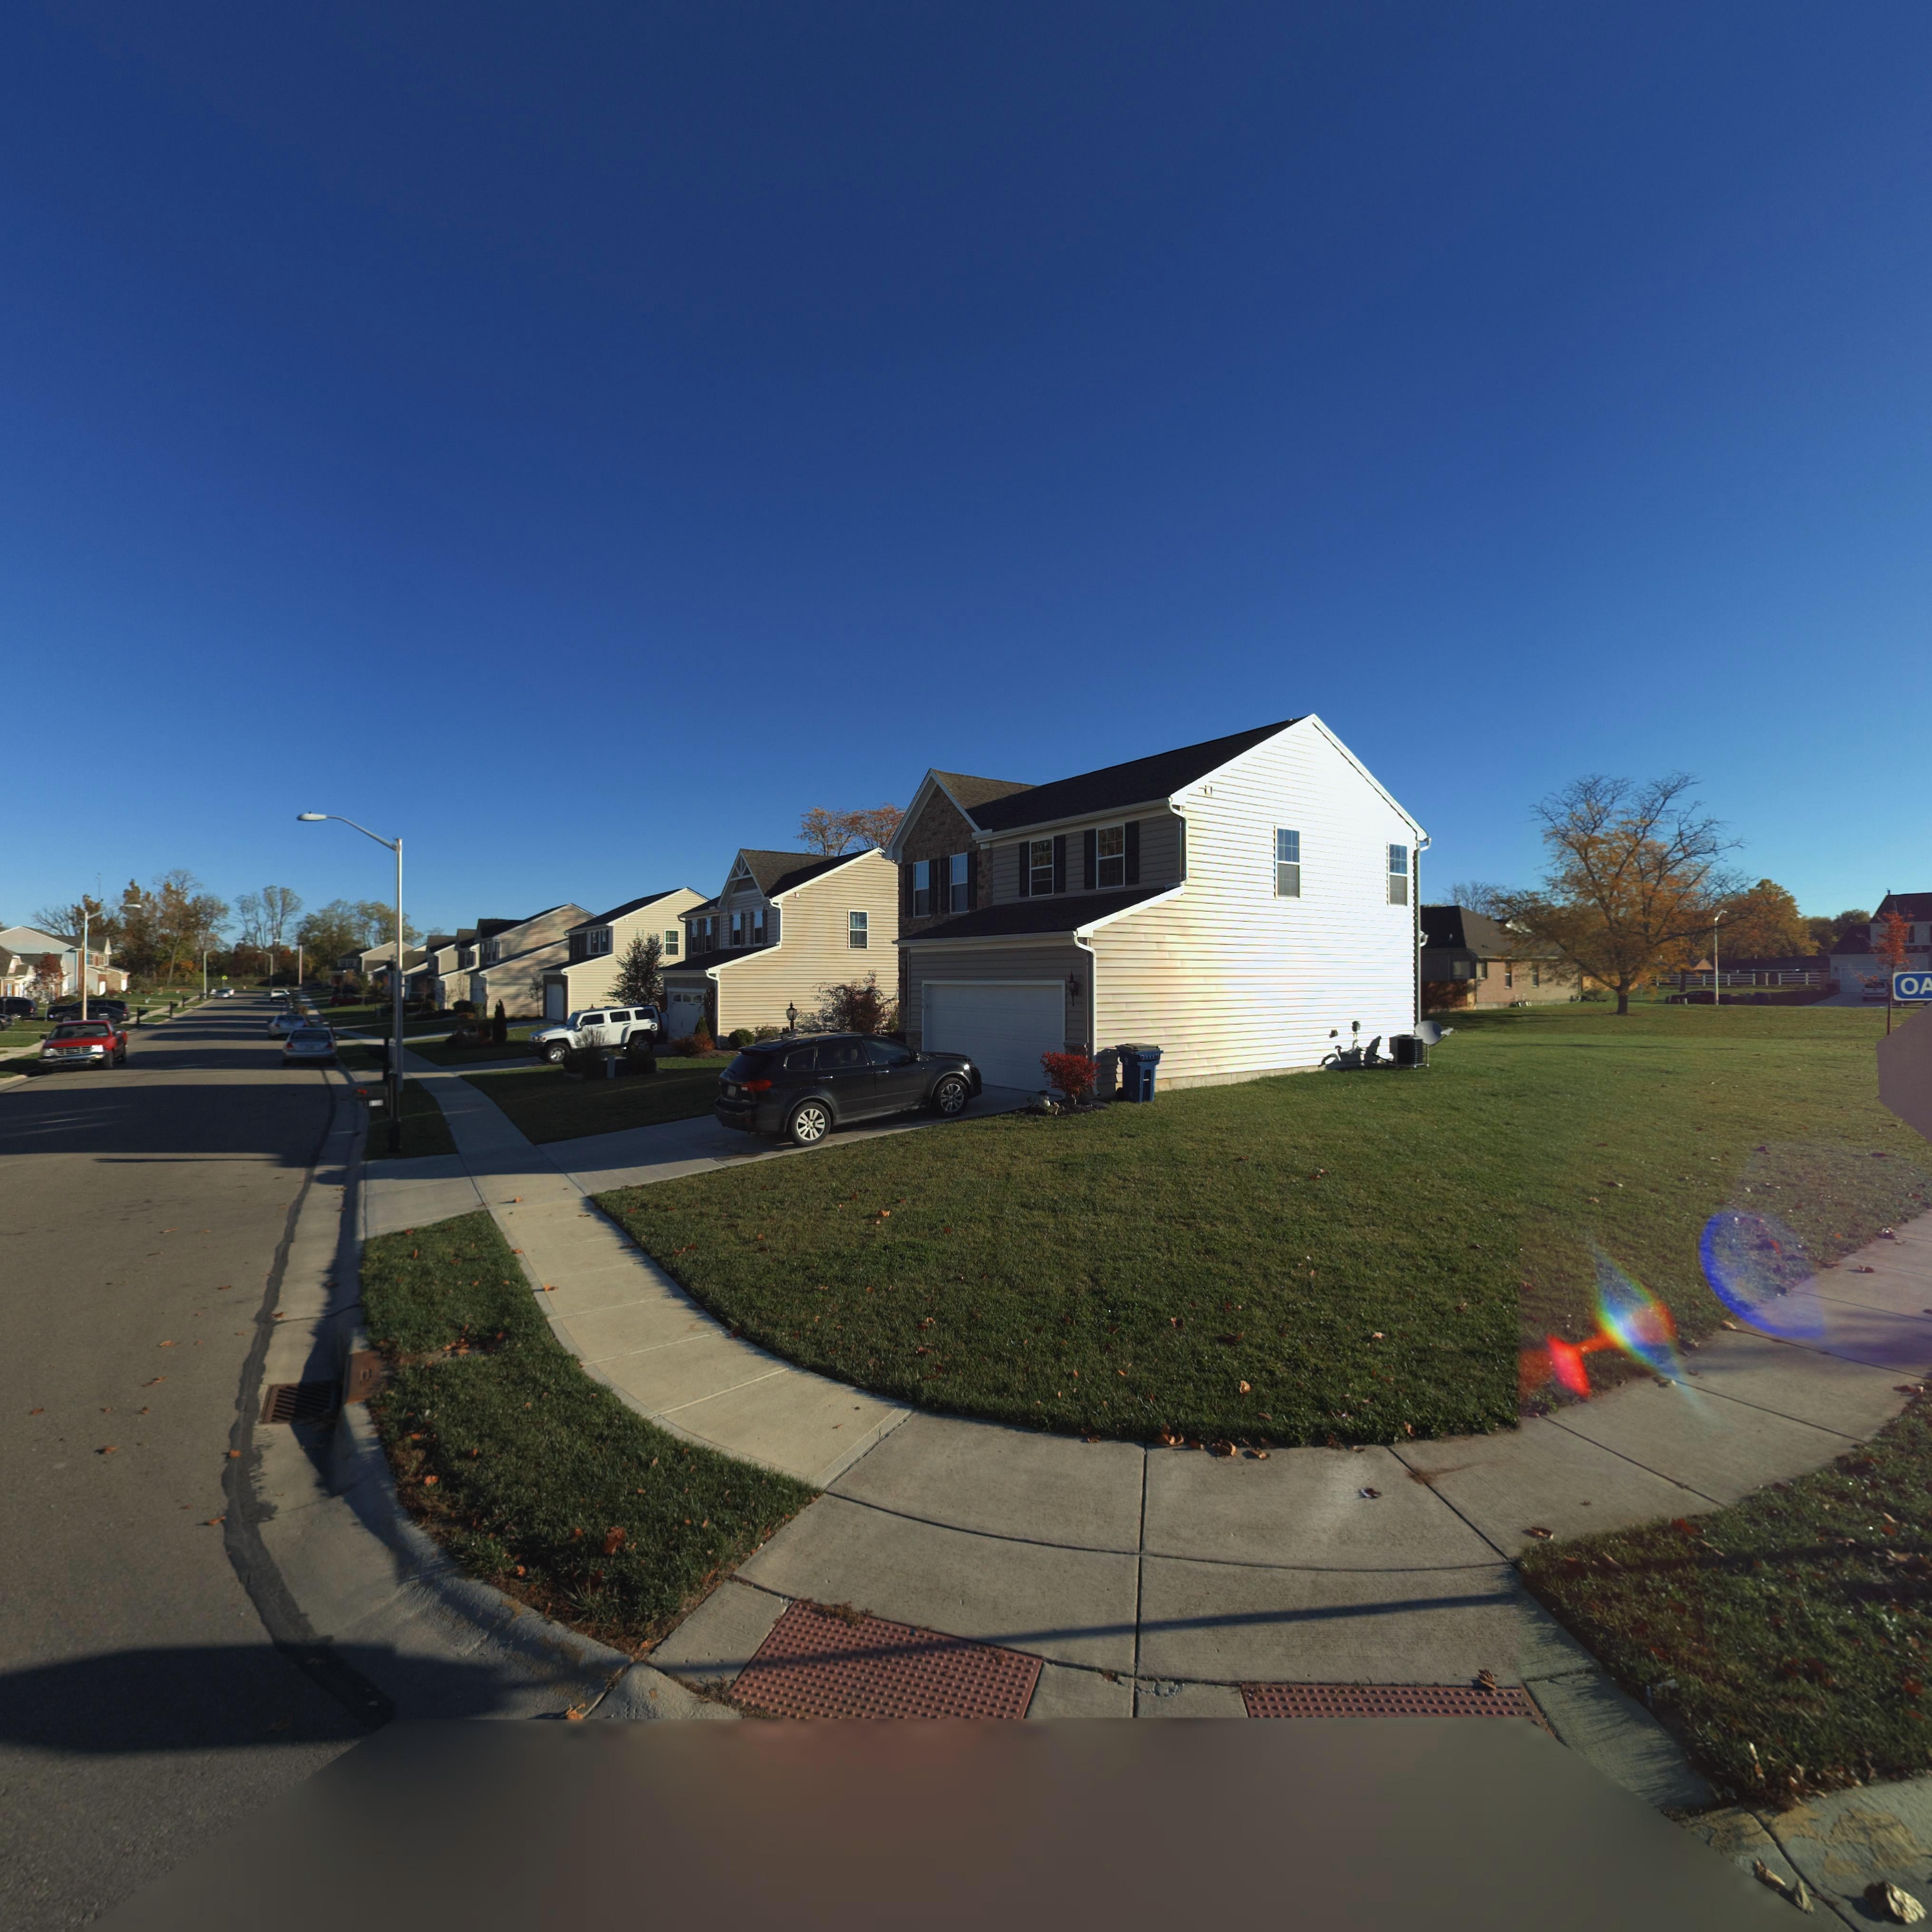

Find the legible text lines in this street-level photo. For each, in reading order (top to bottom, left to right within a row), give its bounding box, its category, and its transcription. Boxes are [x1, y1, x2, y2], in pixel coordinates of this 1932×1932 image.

[921, 986, 925, 1009] StreetNumber: 5*5*